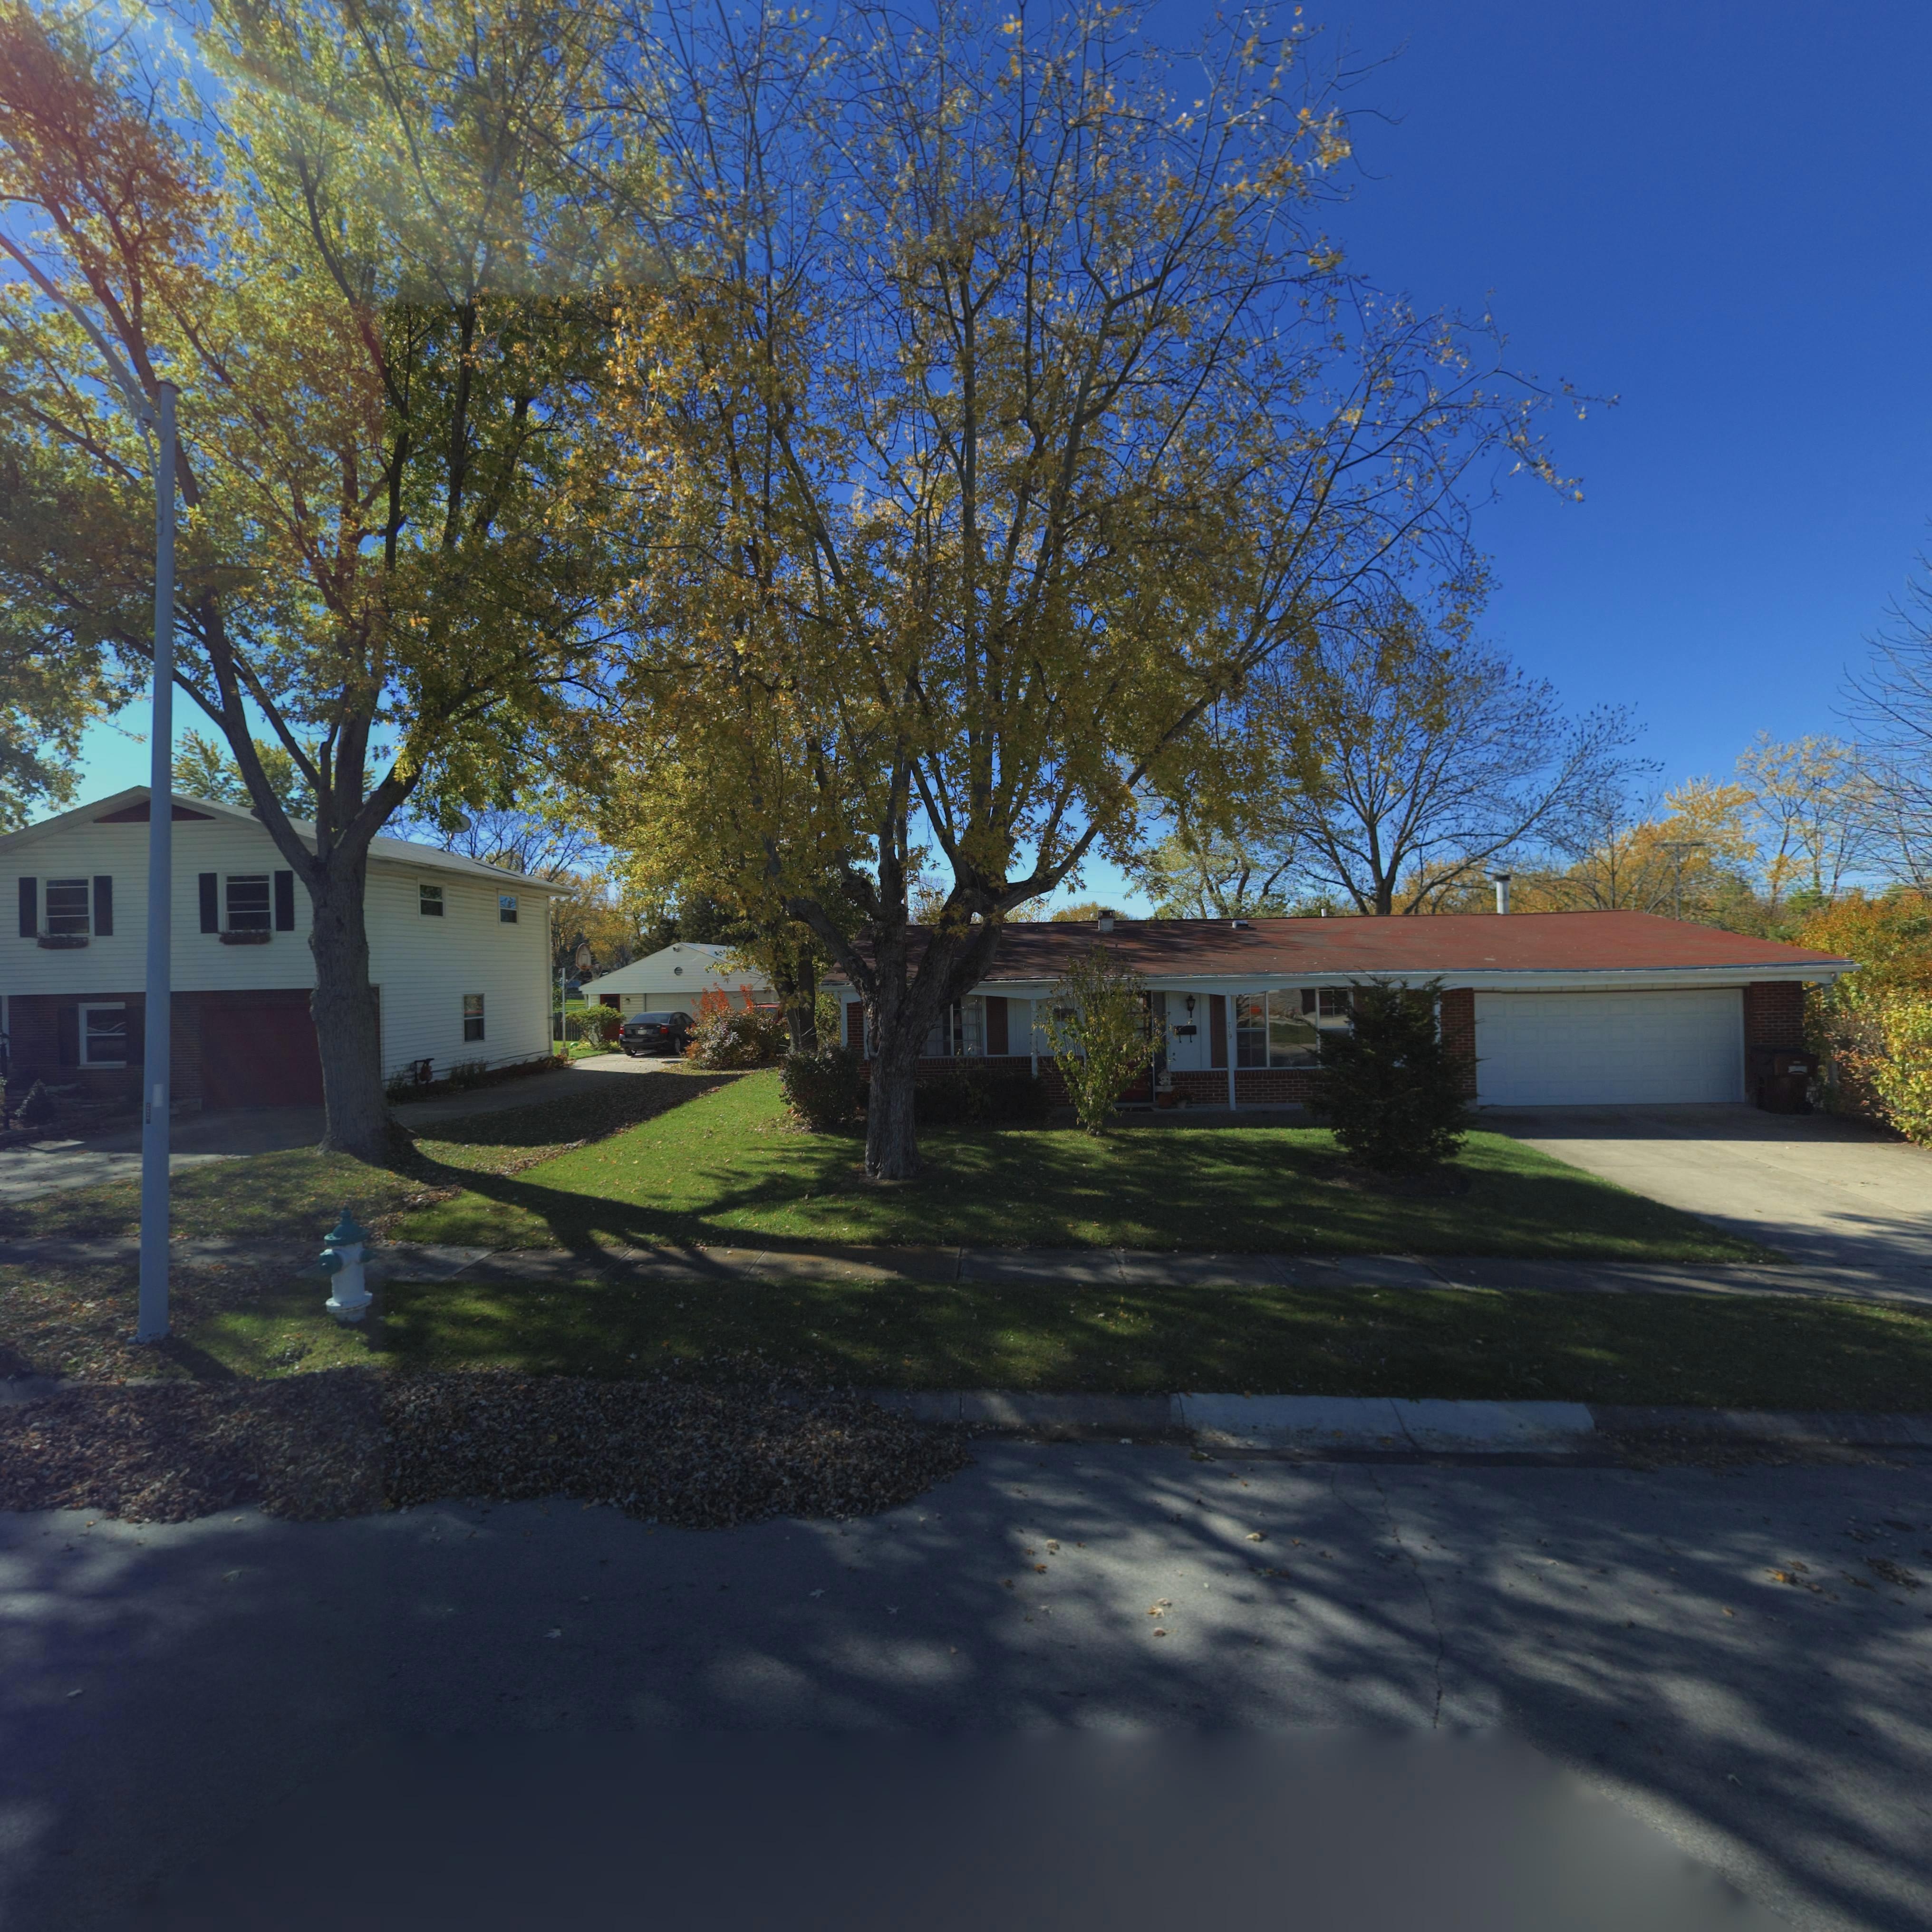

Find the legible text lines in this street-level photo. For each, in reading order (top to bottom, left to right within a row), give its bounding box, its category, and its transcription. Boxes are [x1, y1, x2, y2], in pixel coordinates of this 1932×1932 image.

[1227, 1022, 1232, 1040] StreetNumber: 719